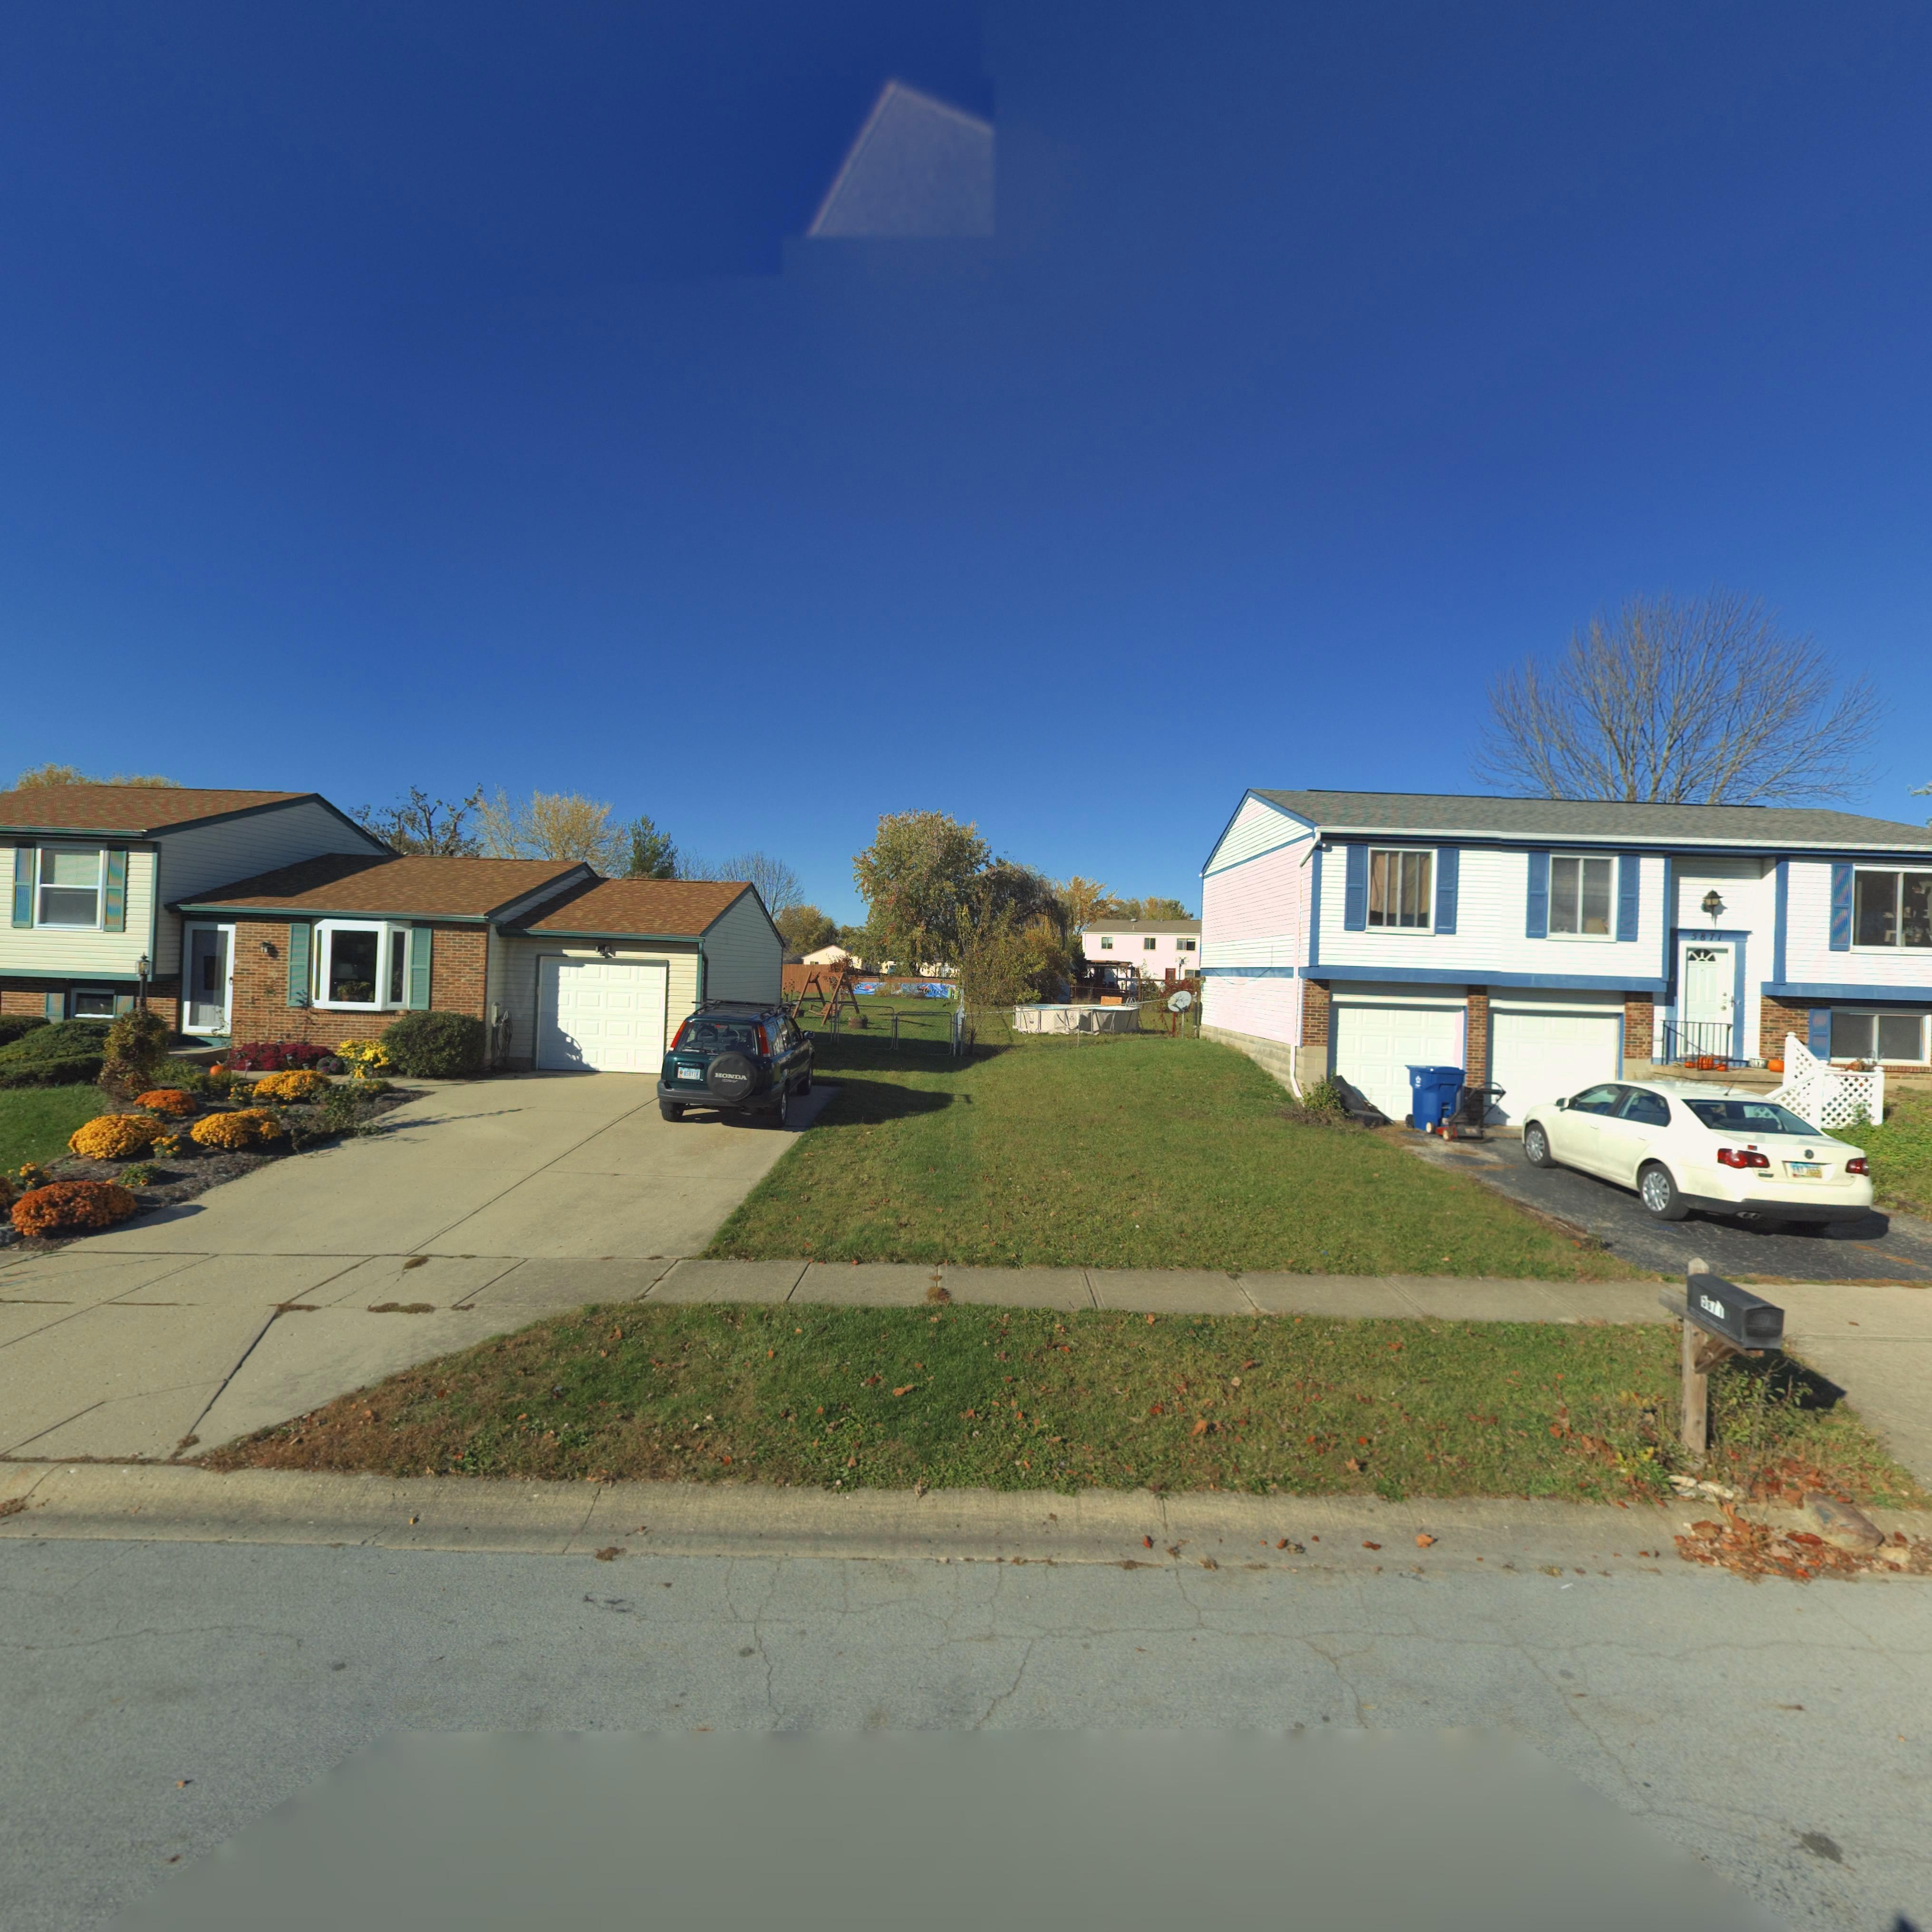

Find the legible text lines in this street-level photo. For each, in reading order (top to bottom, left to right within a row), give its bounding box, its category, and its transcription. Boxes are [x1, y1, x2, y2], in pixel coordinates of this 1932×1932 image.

[1689, 932, 1723, 941] StreetNumber: 5871
[1700, 1295, 1723, 1319] StreetNumber: 58*1